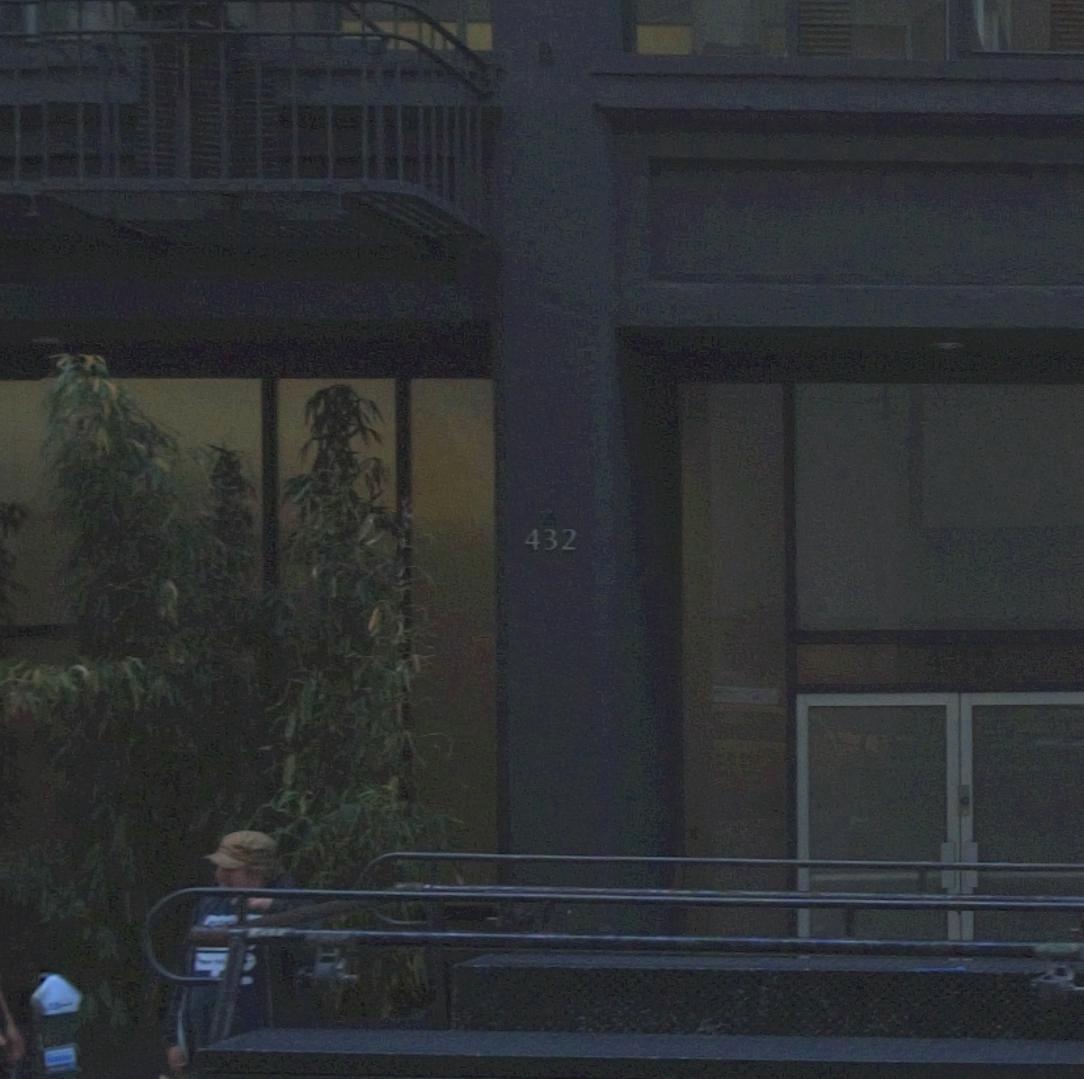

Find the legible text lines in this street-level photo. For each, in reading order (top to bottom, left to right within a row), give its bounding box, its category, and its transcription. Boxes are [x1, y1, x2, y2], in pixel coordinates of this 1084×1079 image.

[520, 524, 578, 554] StreetNumber: 432